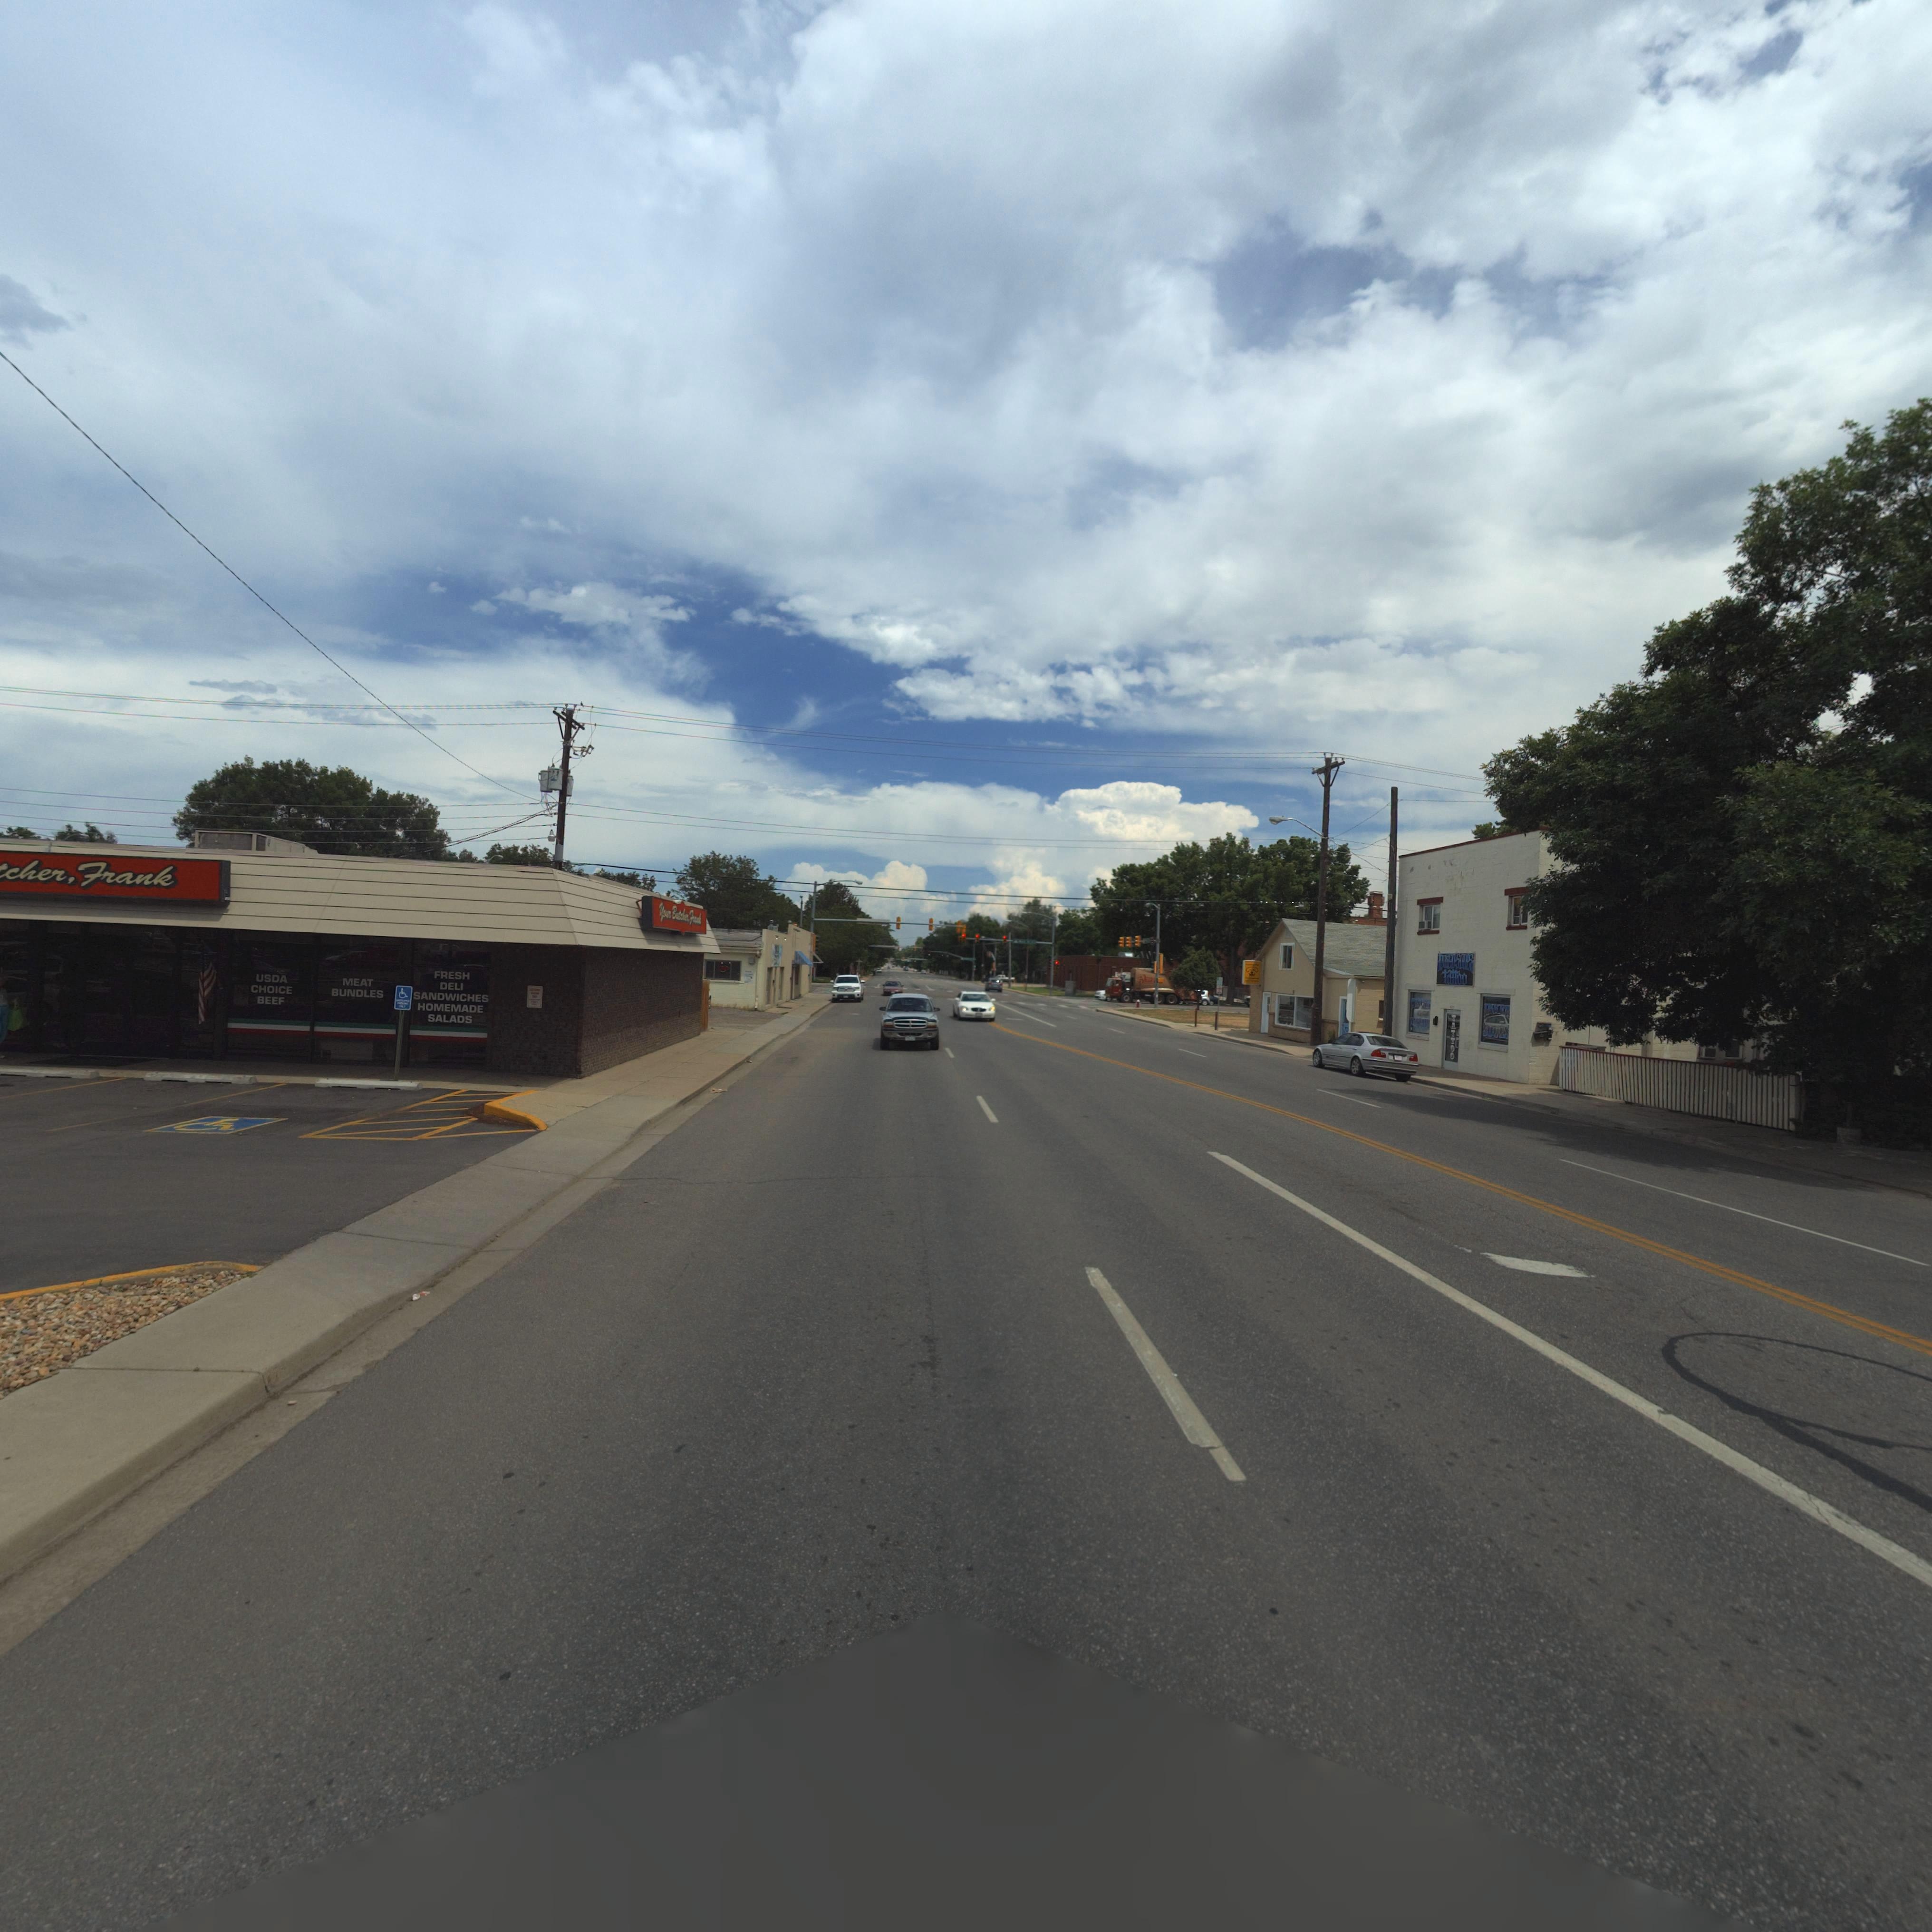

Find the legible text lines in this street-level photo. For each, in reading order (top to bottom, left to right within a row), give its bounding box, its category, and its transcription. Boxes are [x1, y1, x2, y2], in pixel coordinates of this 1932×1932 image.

[4, 859, 176, 887] BusinessName: cher, Frank
[658, 901, 702, 926] BusinessName: Your Butcher, Frank
[1438, 954, 1474, 973] BusinessName: INKEDSOULS
[1441, 968, 1467, 985] BusinessName: Tattoo
[1483, 1003, 1510, 1018] BusinessName: INKED
[1483, 1022, 1508, 1039] BusinessName: SOULS